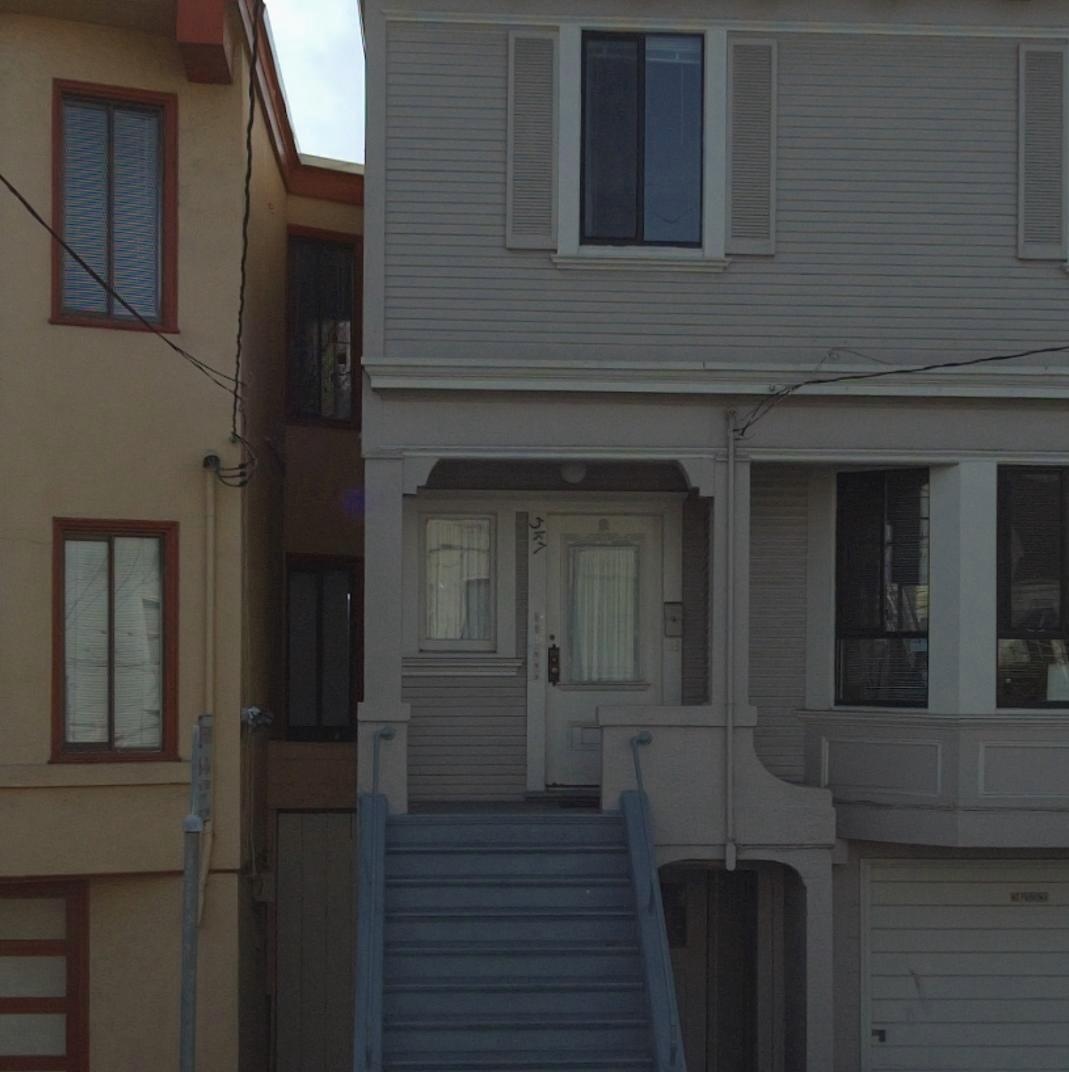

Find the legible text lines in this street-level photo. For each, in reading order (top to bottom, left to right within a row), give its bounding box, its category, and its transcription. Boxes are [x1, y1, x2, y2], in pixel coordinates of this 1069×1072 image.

[527, 514, 549, 559] StreetNumber: 347